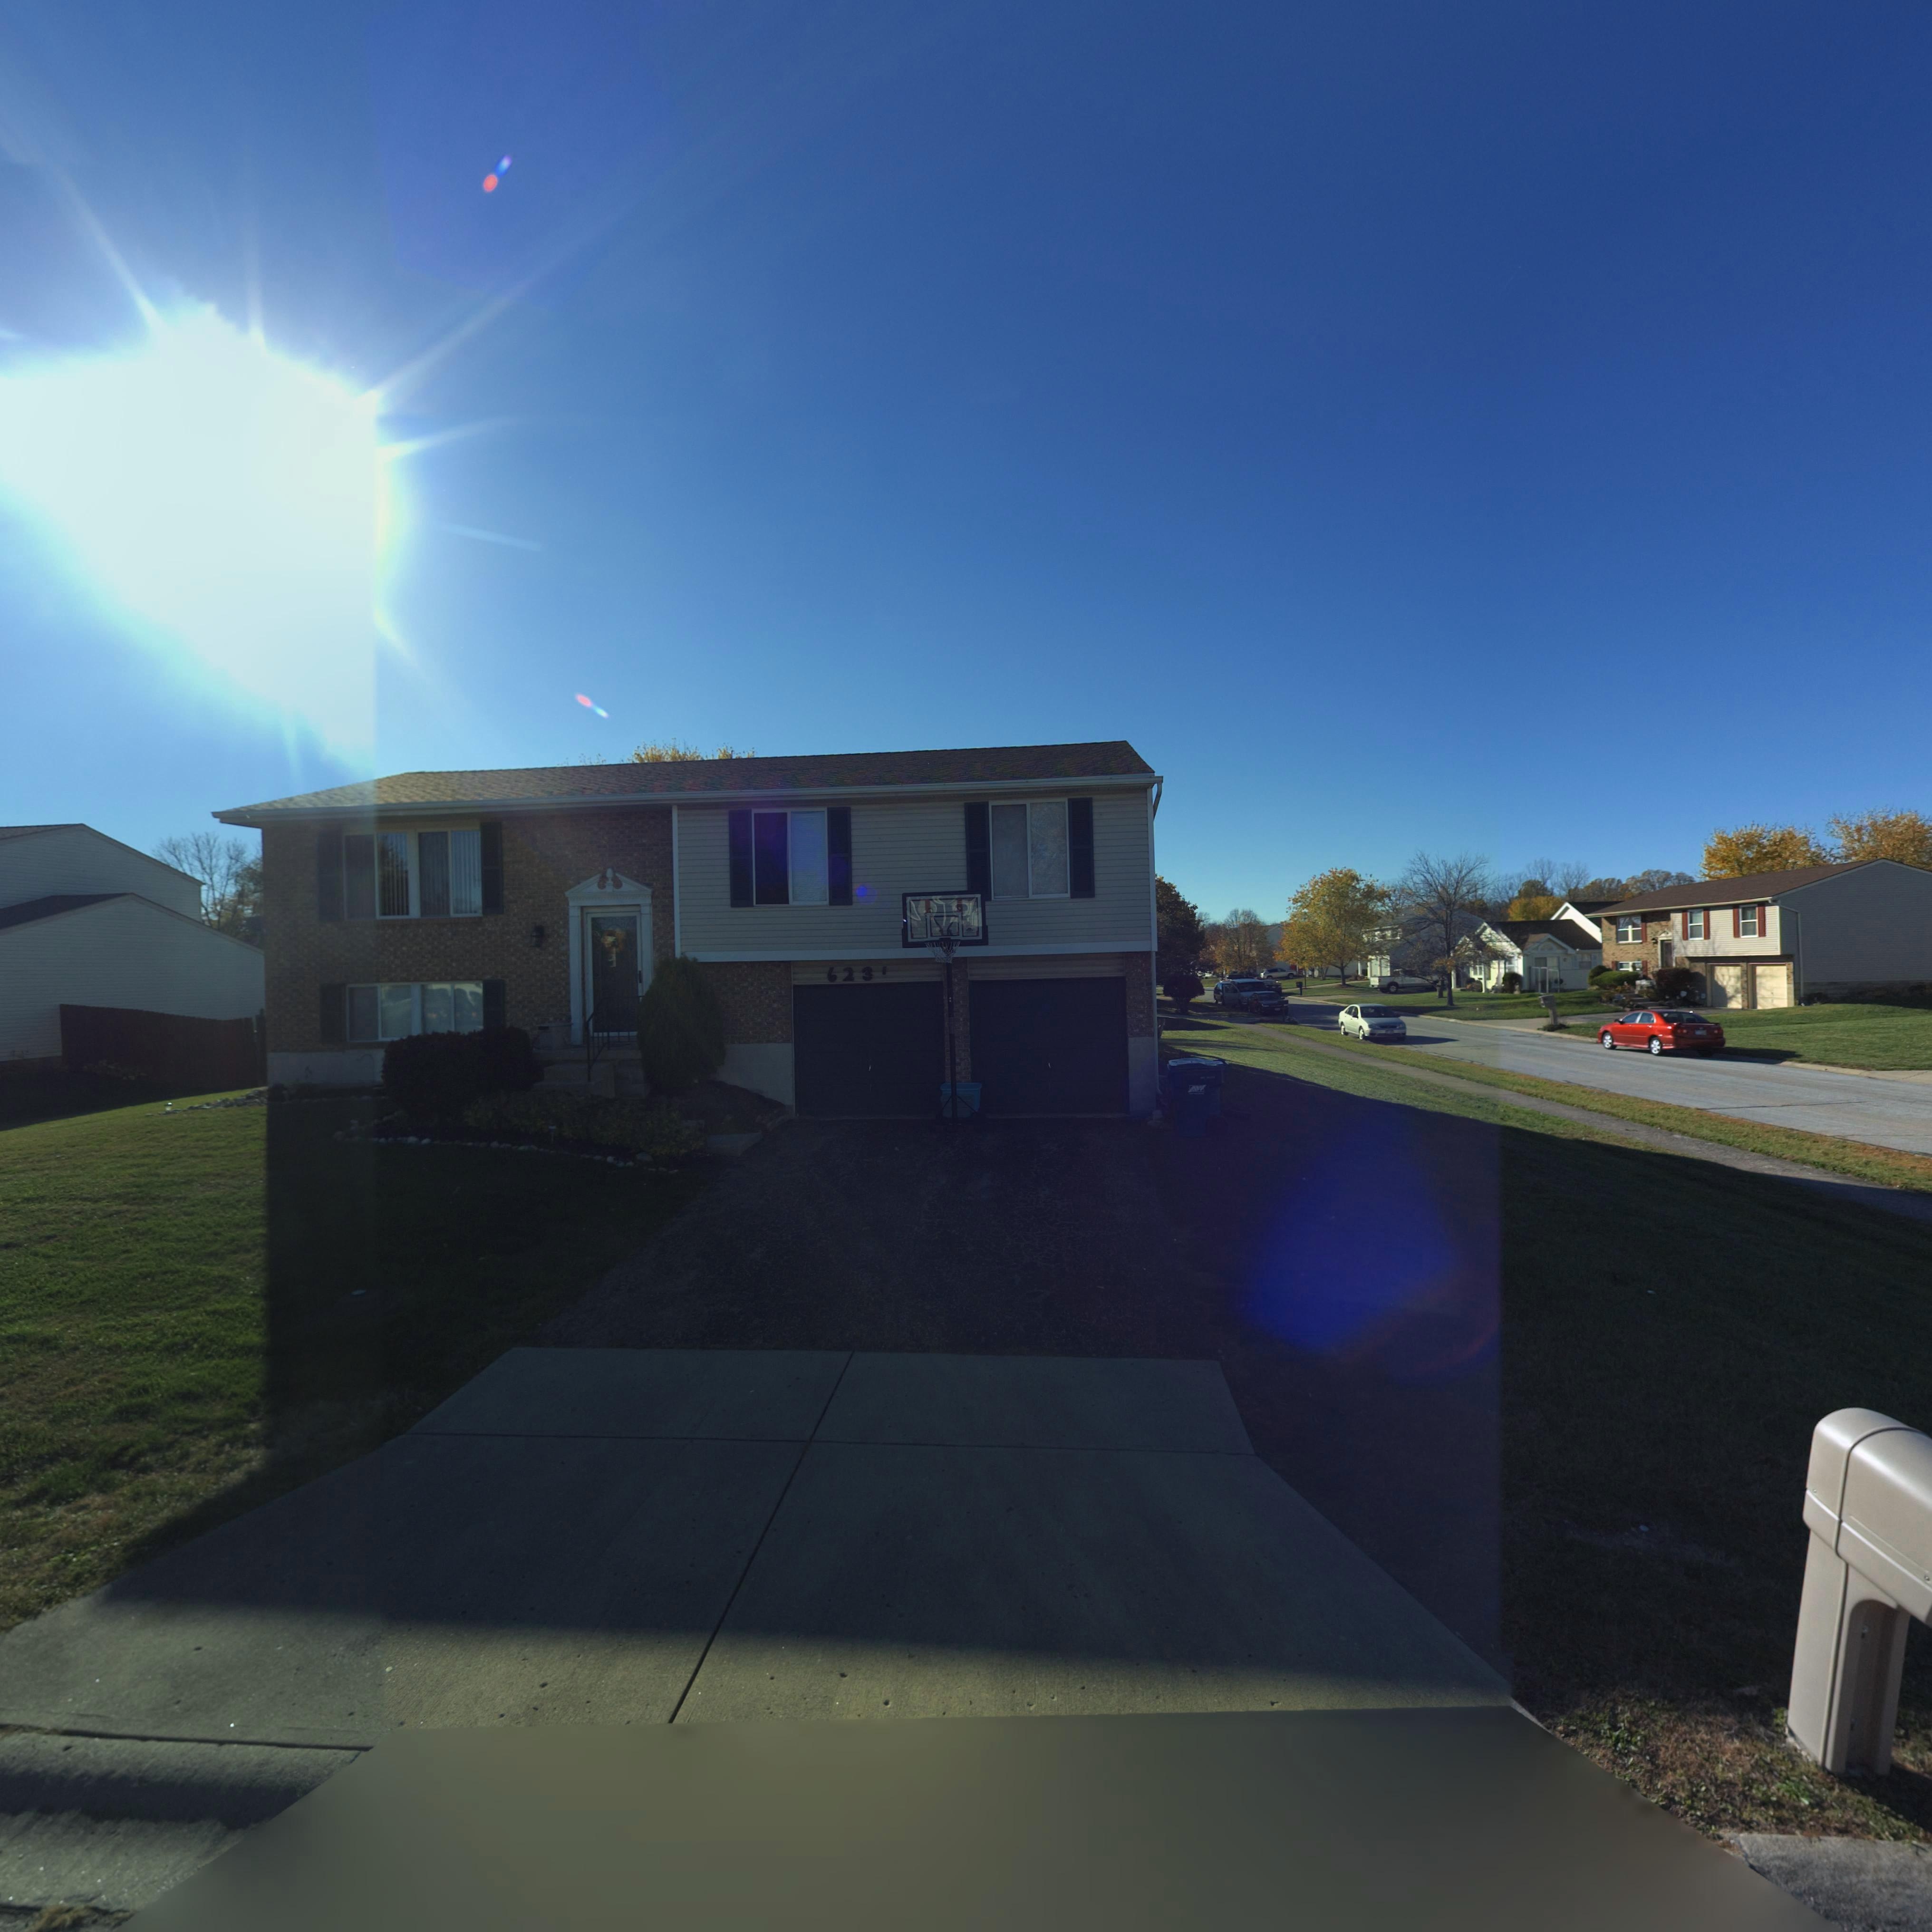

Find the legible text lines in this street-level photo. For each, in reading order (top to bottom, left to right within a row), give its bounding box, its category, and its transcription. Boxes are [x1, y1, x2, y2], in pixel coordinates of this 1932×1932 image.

[825, 965, 888, 984] StreetNumber: 623*